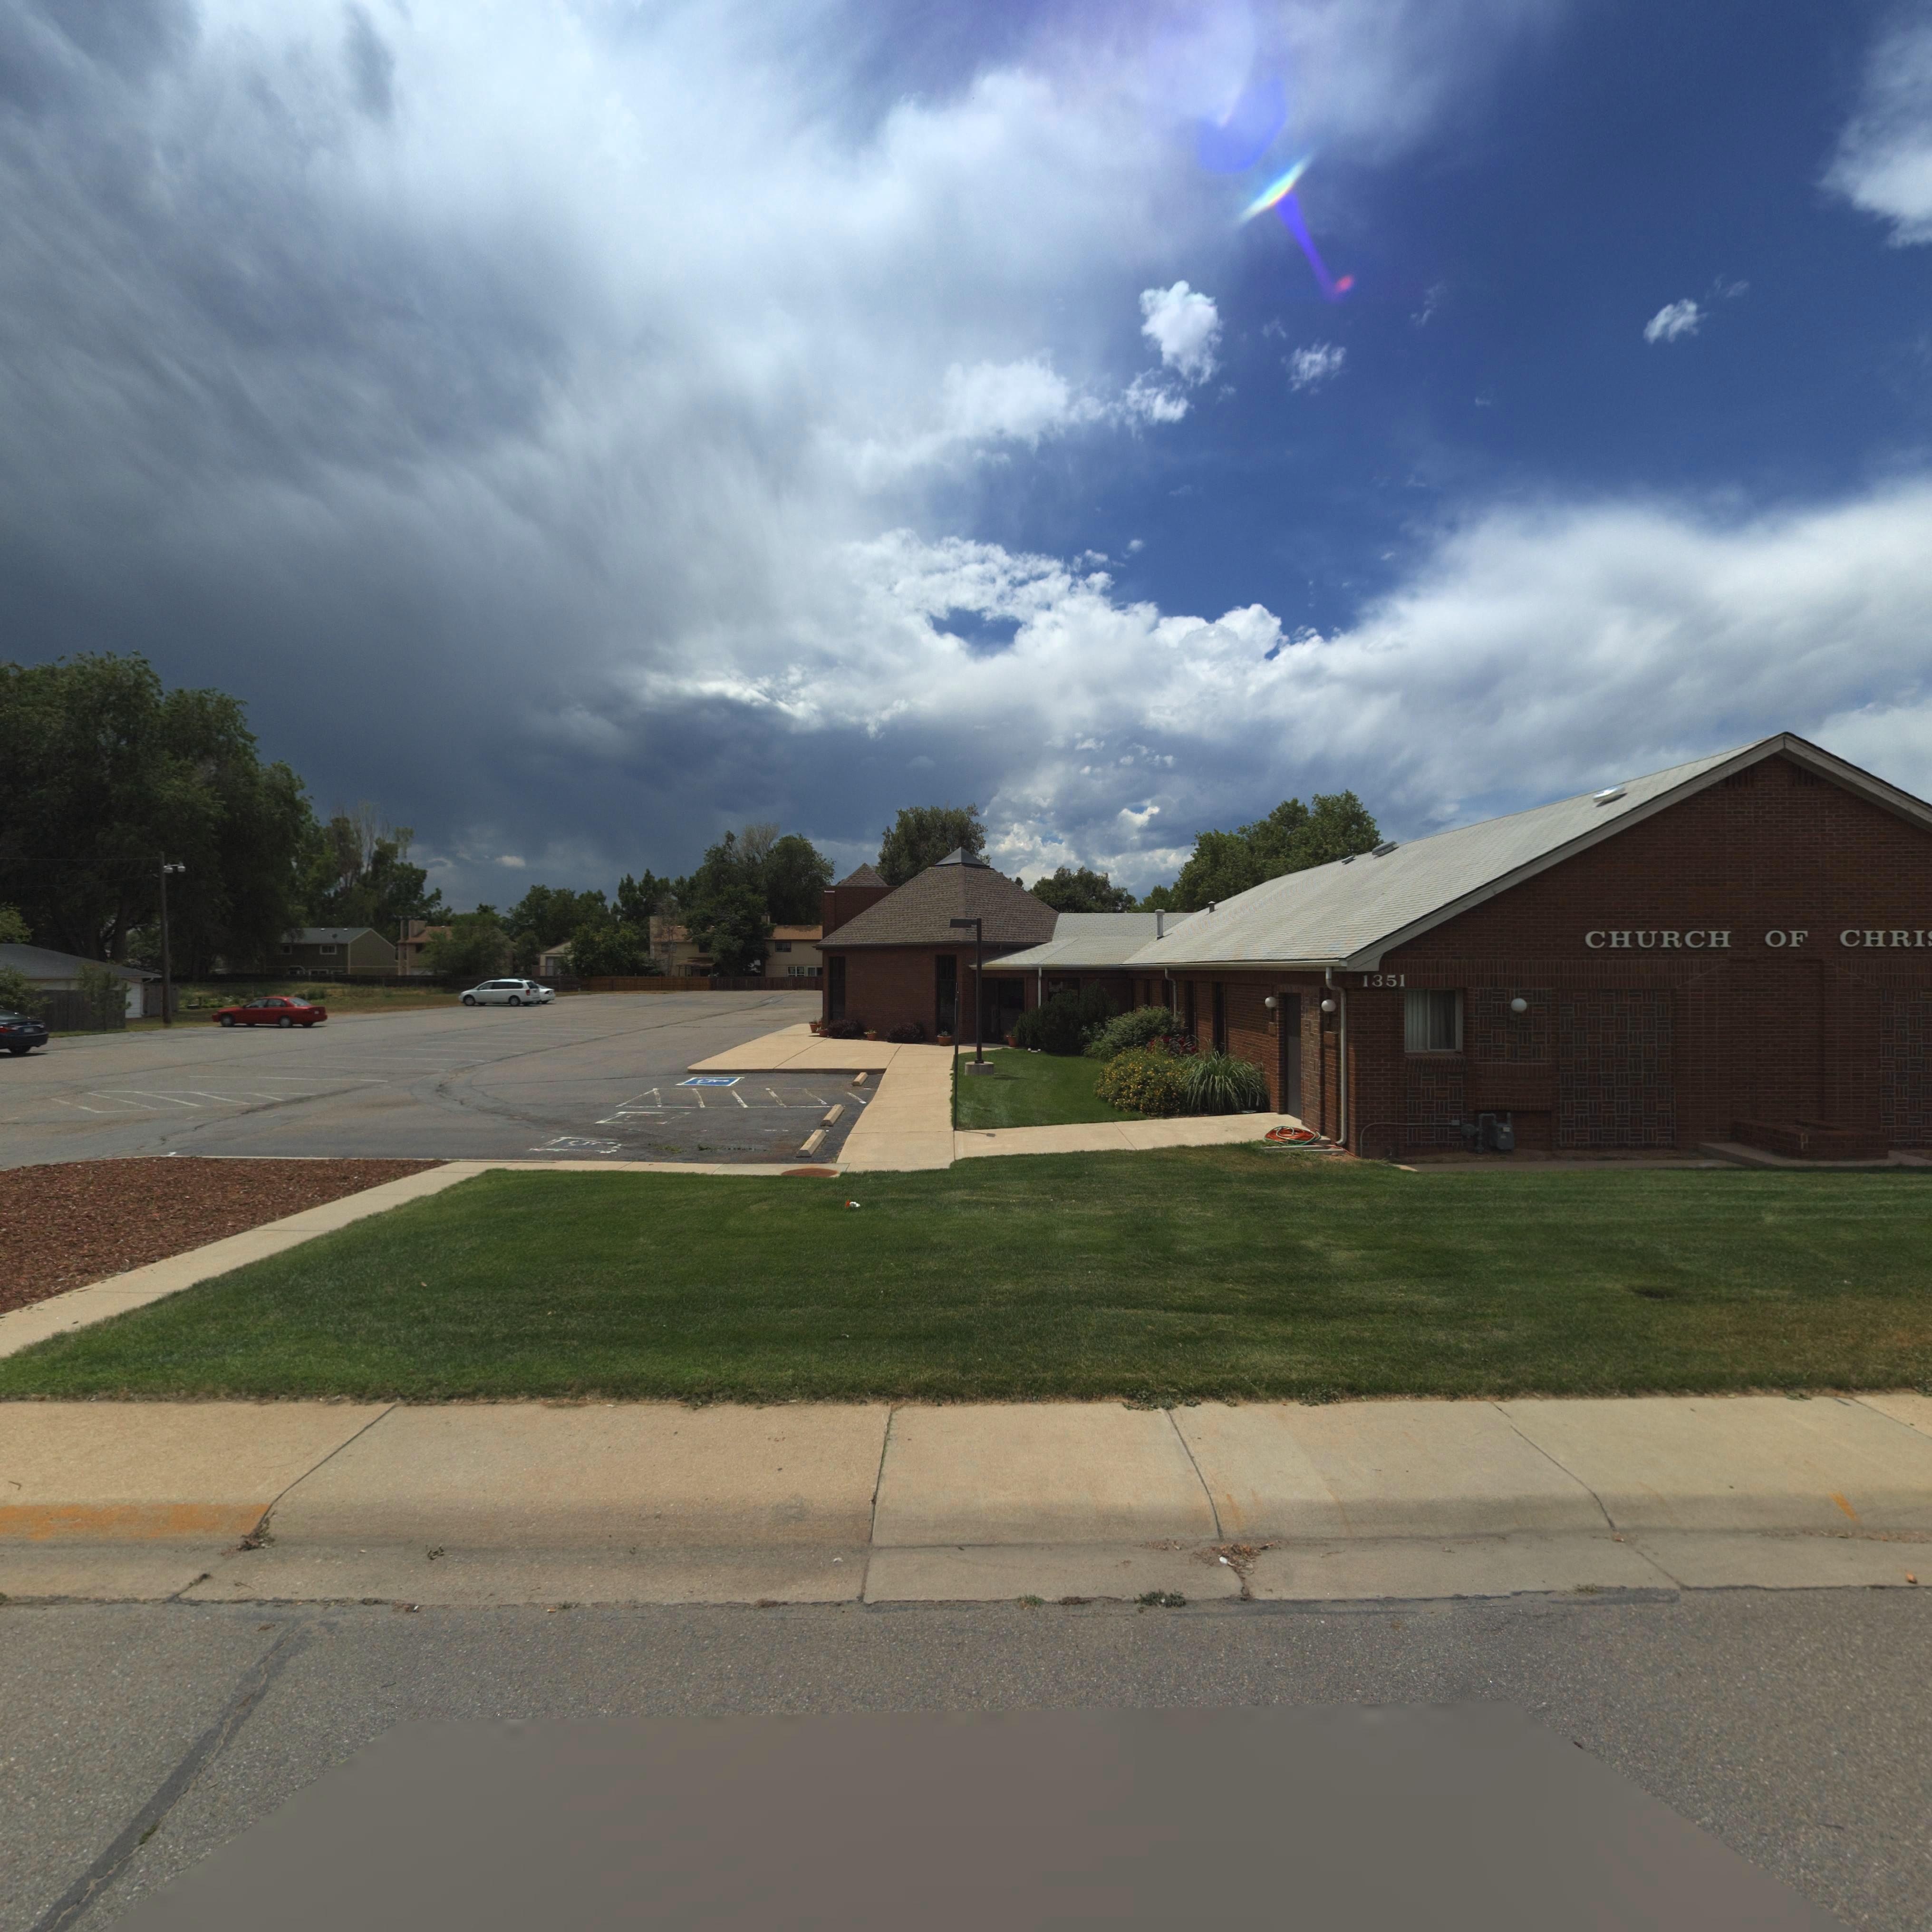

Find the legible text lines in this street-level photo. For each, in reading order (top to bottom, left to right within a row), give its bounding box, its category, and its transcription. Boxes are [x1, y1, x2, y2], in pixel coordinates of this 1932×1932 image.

[1585, 929, 1926, 948] BusinessName: CHURCH OF CHRI
[1362, 974, 1405, 987] StreetNumber: 1351